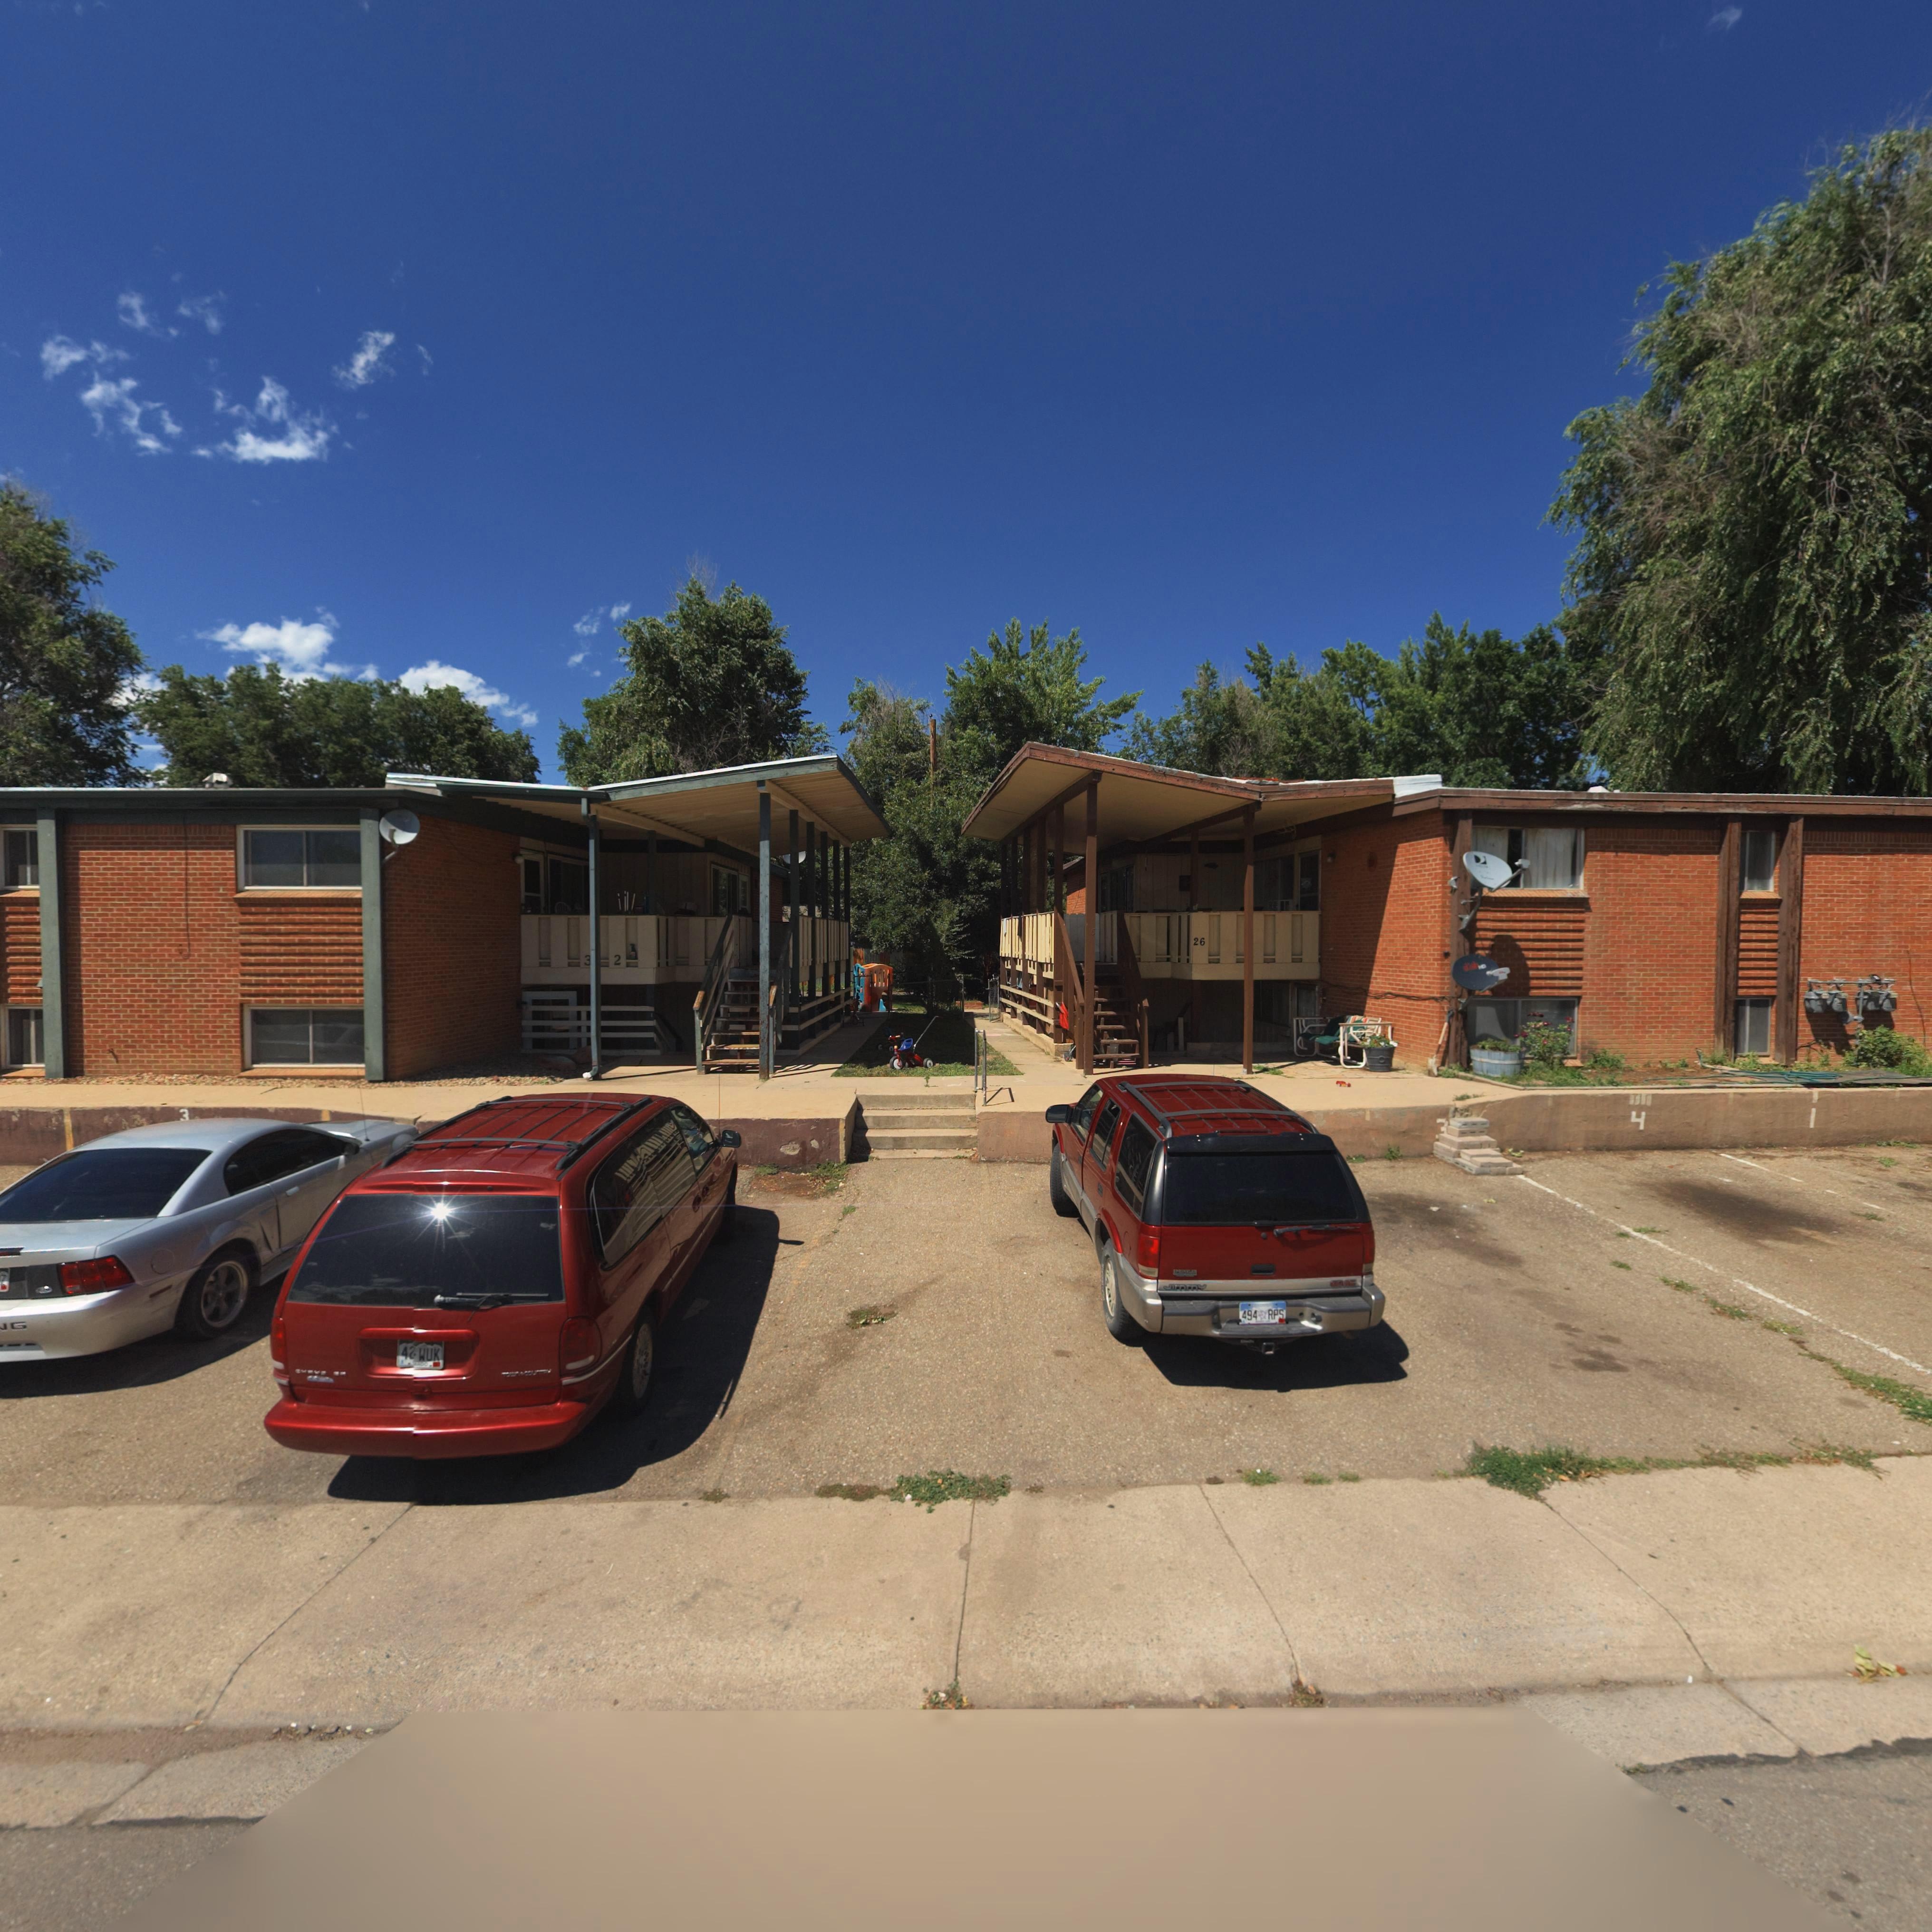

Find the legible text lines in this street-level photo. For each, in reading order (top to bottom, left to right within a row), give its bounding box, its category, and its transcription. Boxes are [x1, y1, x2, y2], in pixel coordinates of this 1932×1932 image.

[1193, 937, 1205, 946] StreetNumber: 26
[583, 954, 621, 966] StreetNumber: 3 2